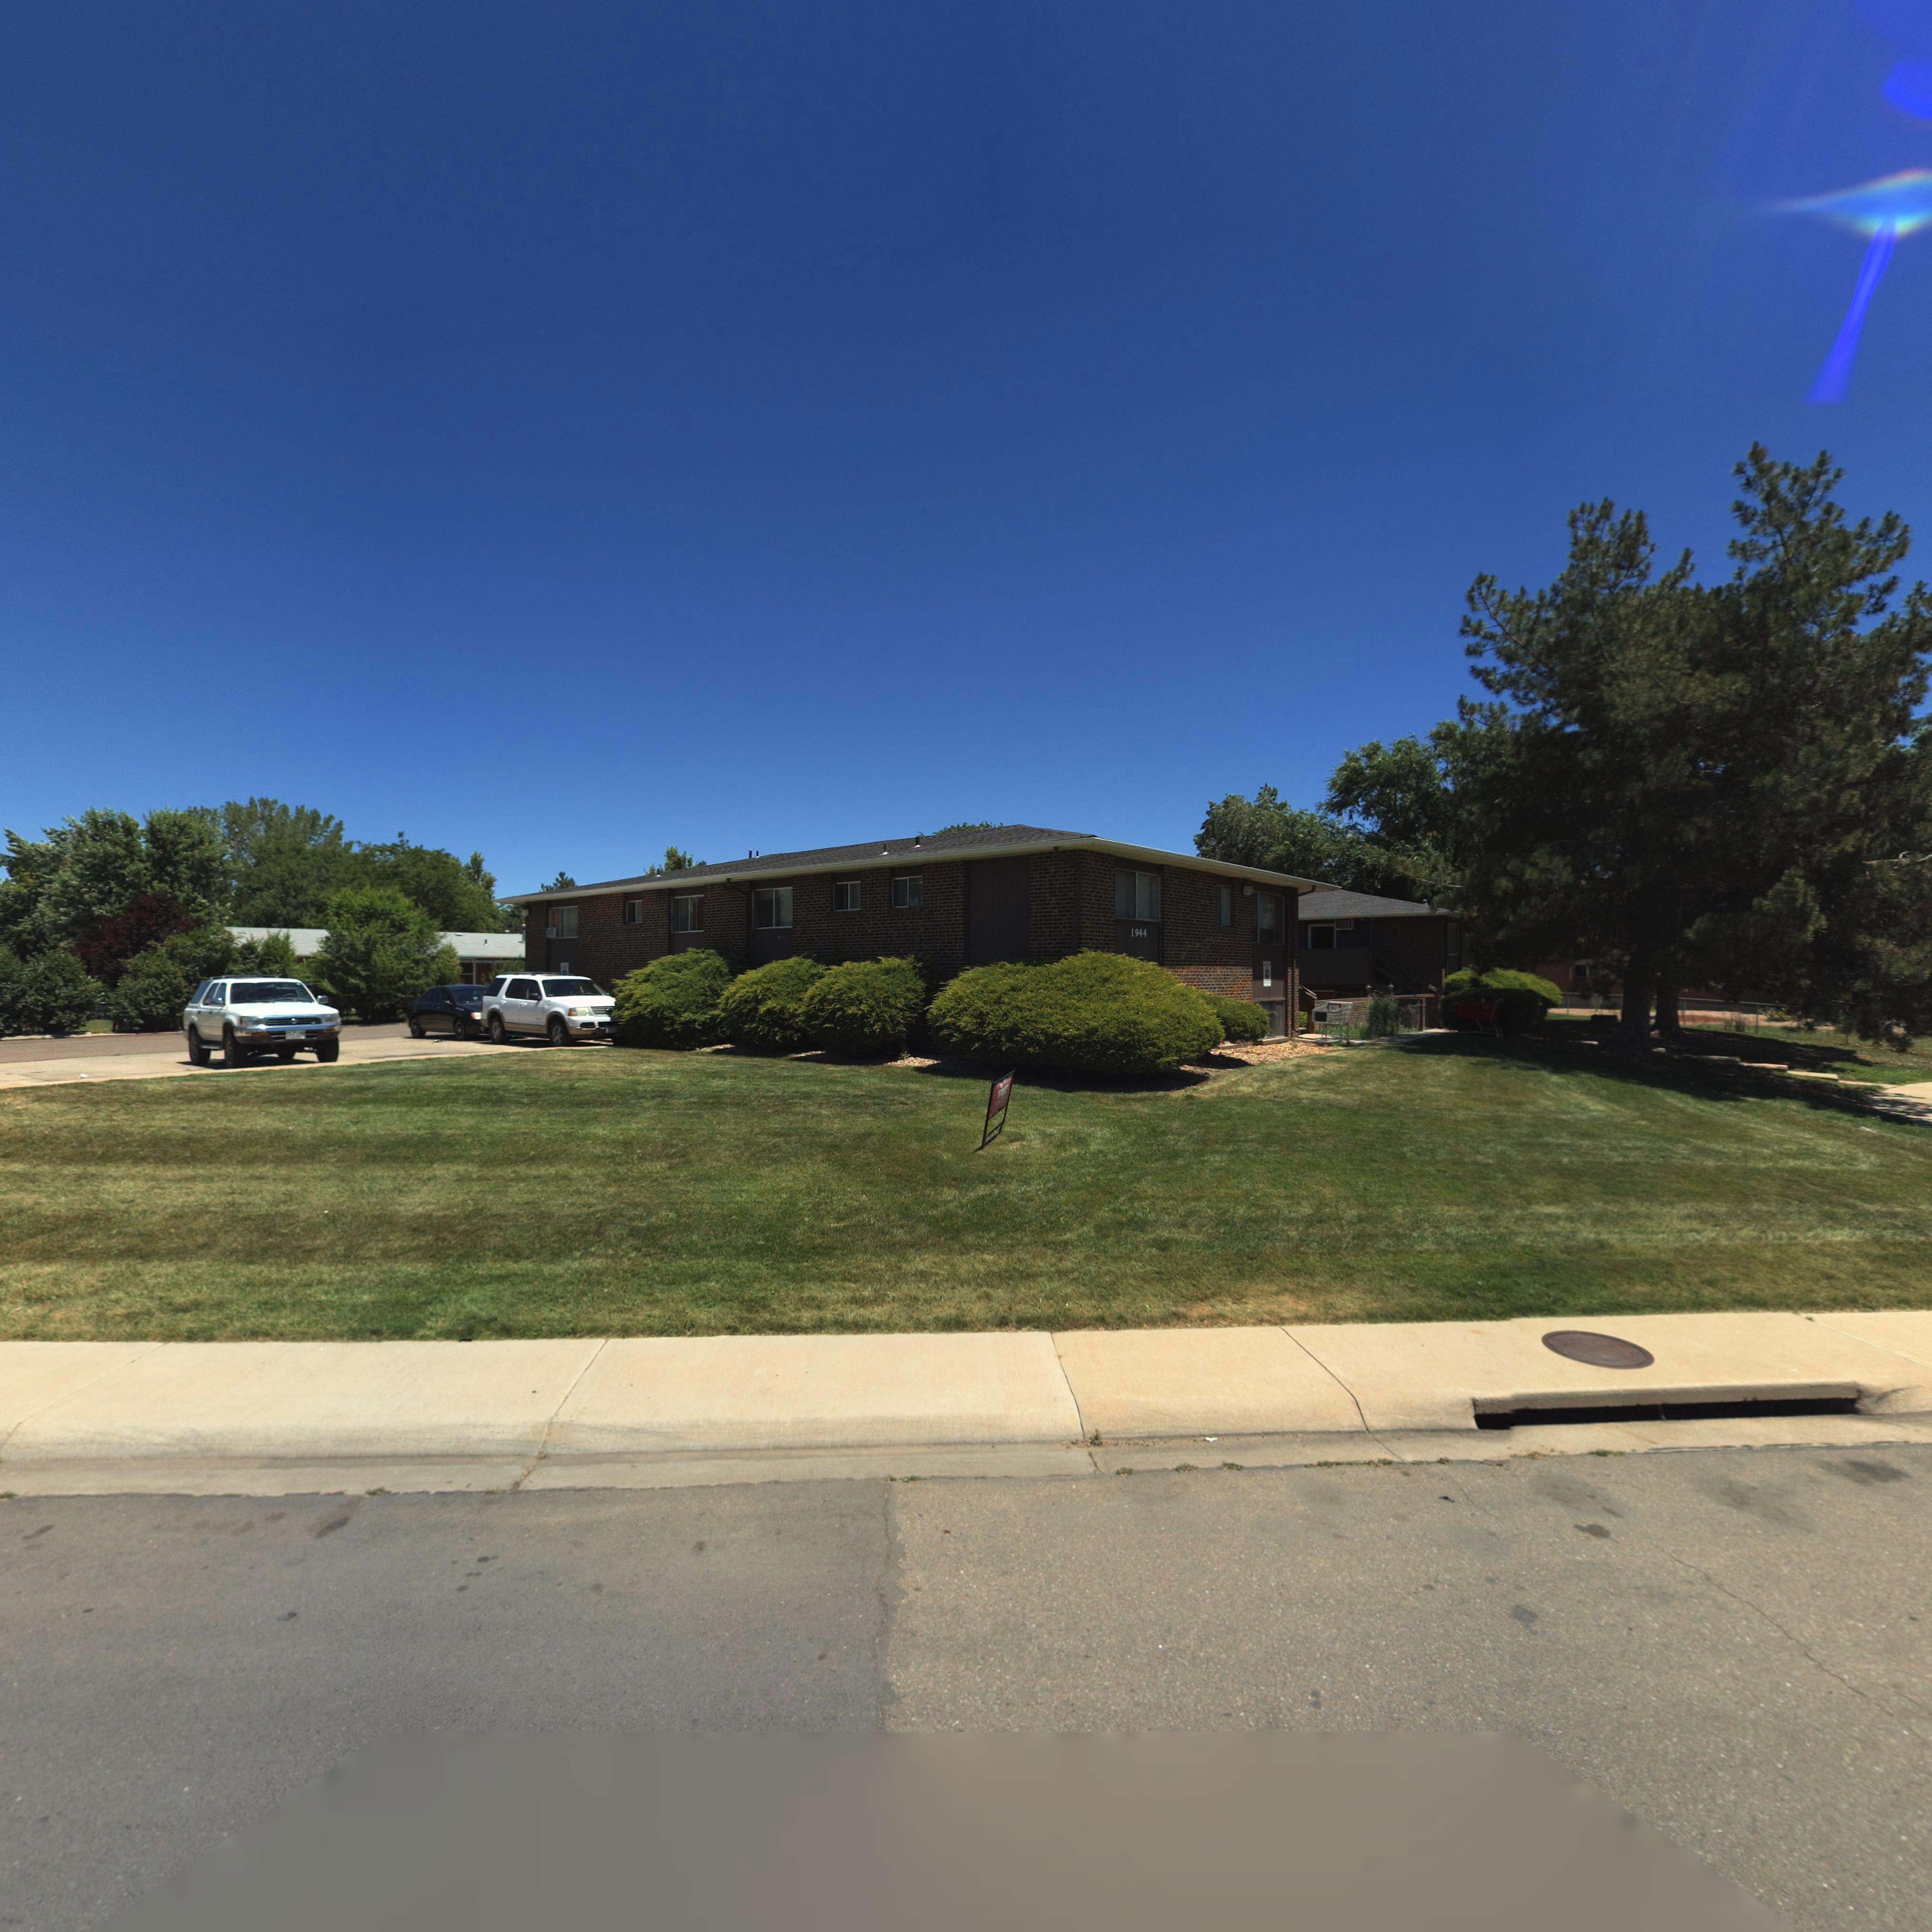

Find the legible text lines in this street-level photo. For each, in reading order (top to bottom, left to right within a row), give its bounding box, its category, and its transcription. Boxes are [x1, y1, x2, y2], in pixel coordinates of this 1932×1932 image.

[1130, 927, 1149, 942] StreetNumber: 1944